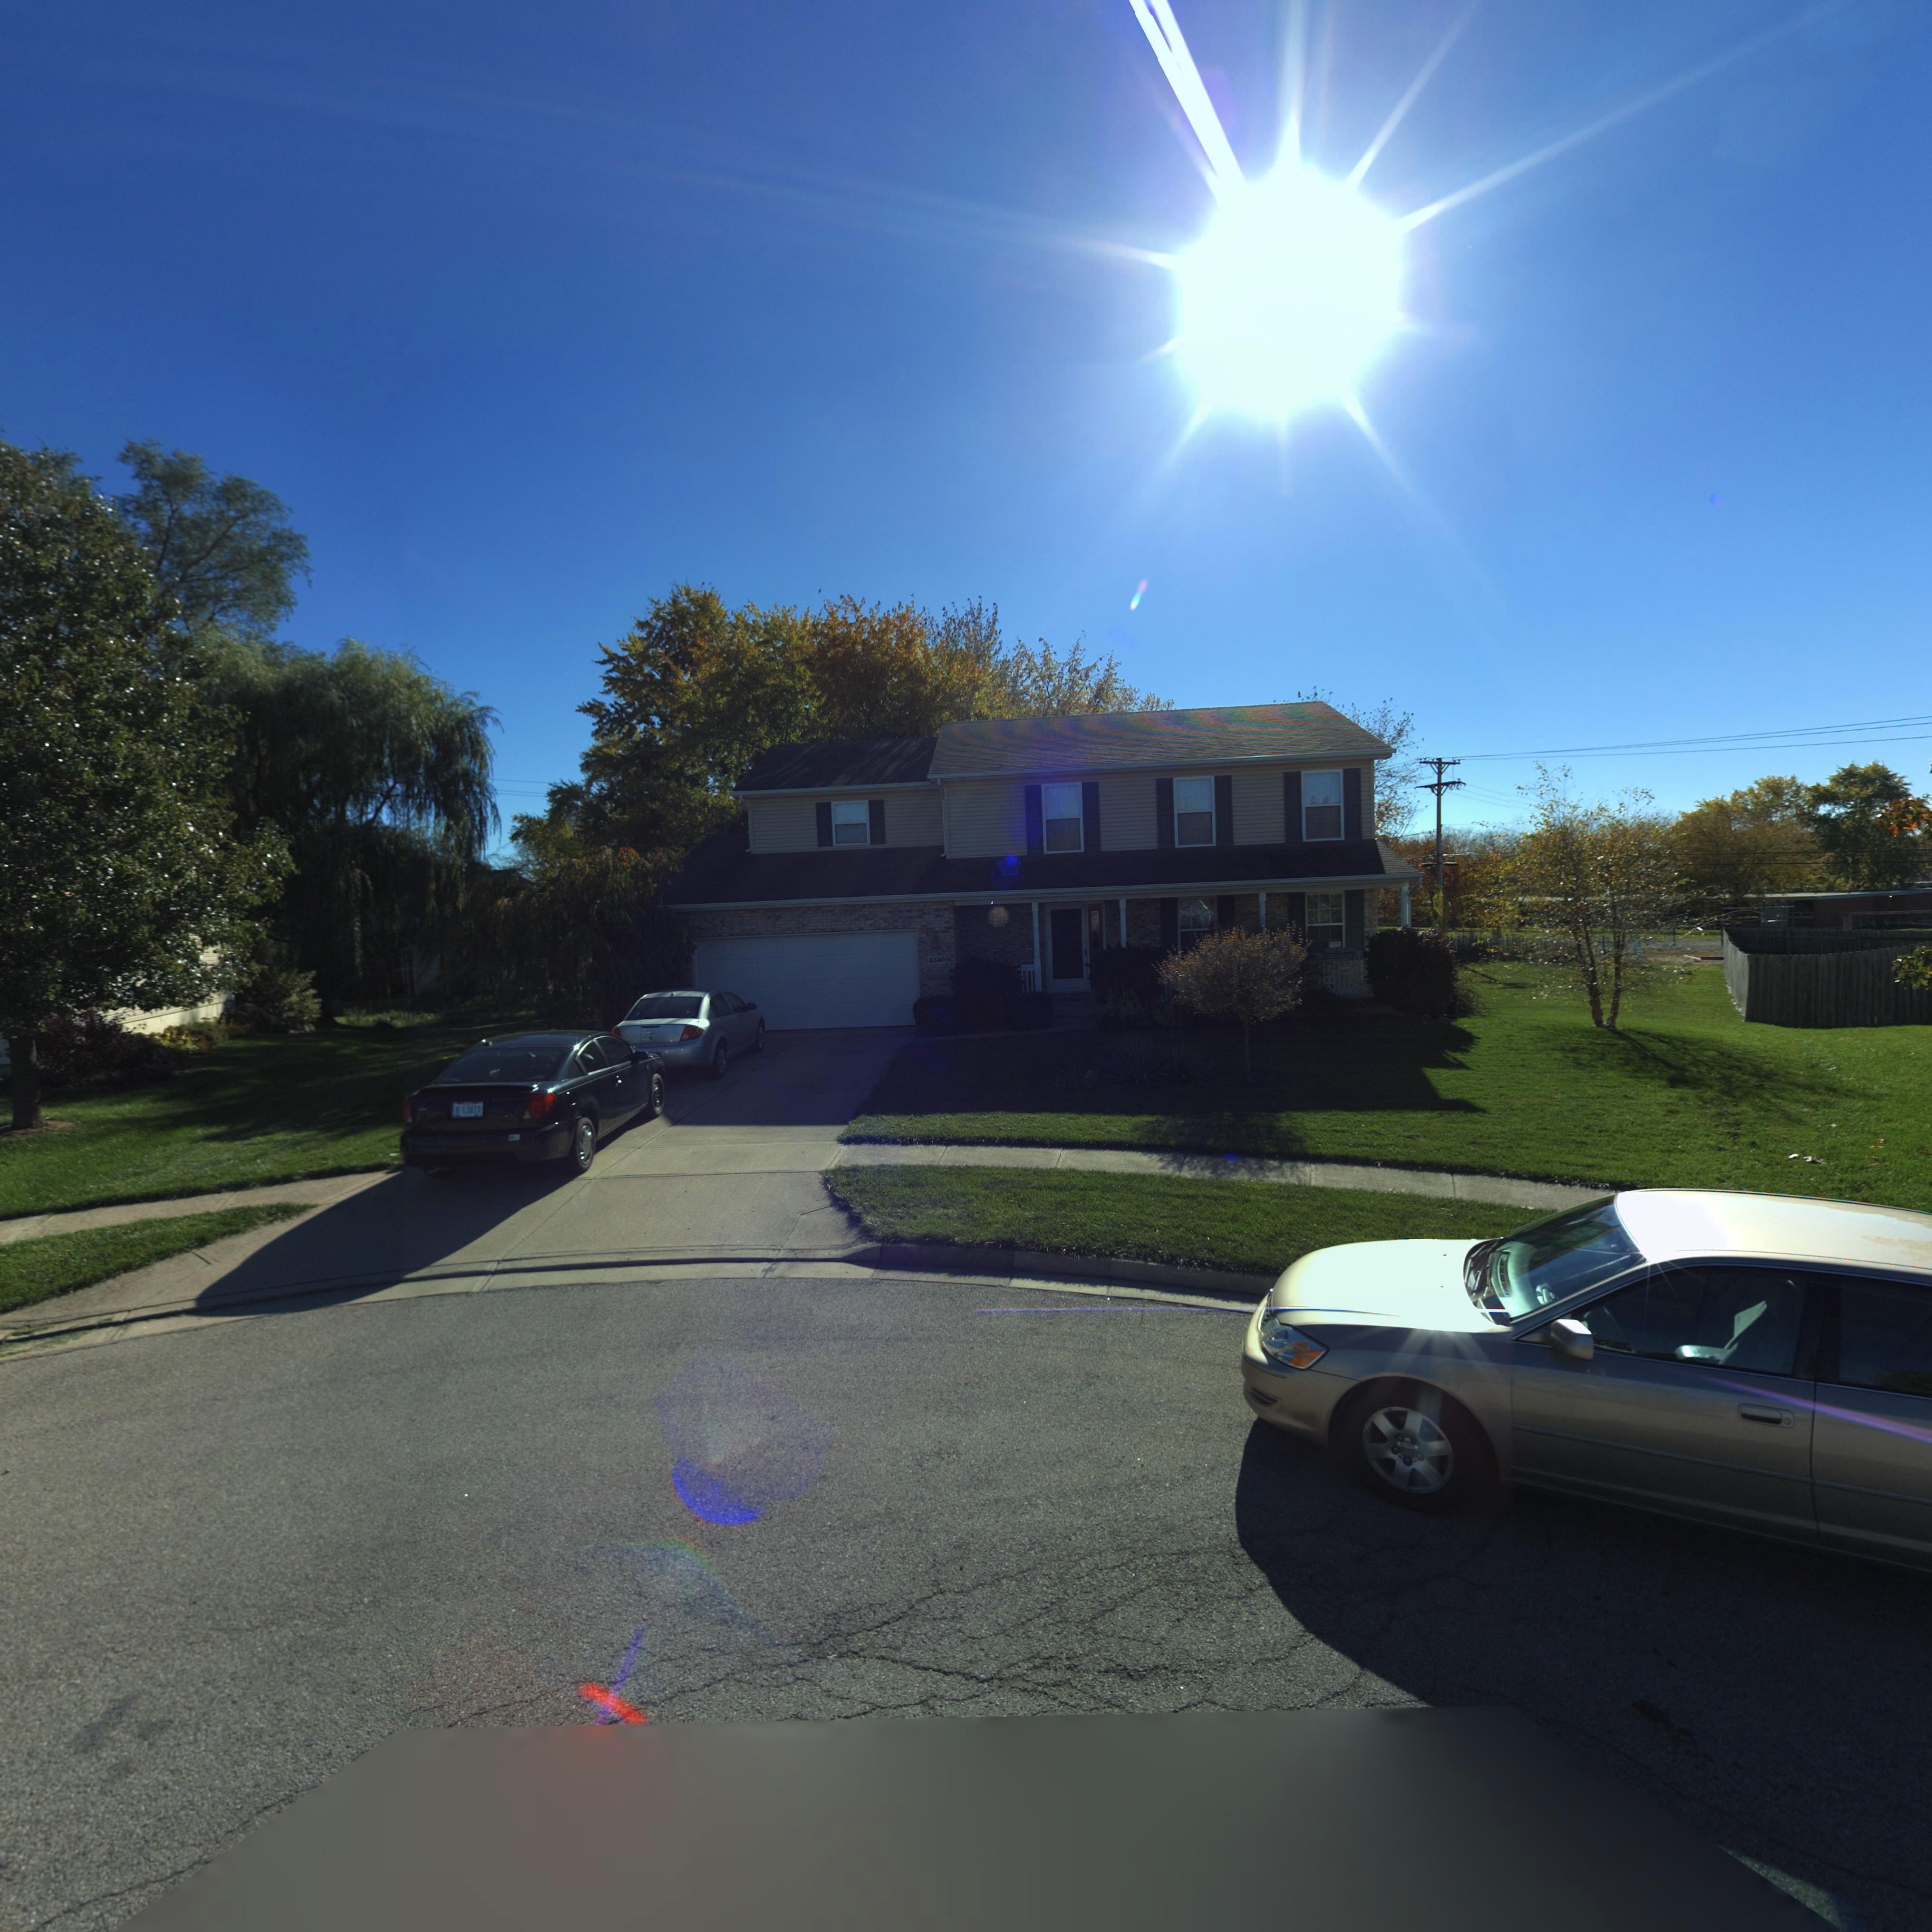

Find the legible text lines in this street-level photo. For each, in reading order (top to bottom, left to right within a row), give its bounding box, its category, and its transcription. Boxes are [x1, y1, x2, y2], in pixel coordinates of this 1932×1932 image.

[927, 956, 946, 965] StreetNumber: 4540
[455, 1104, 482, 1114] None: B*&L2**3